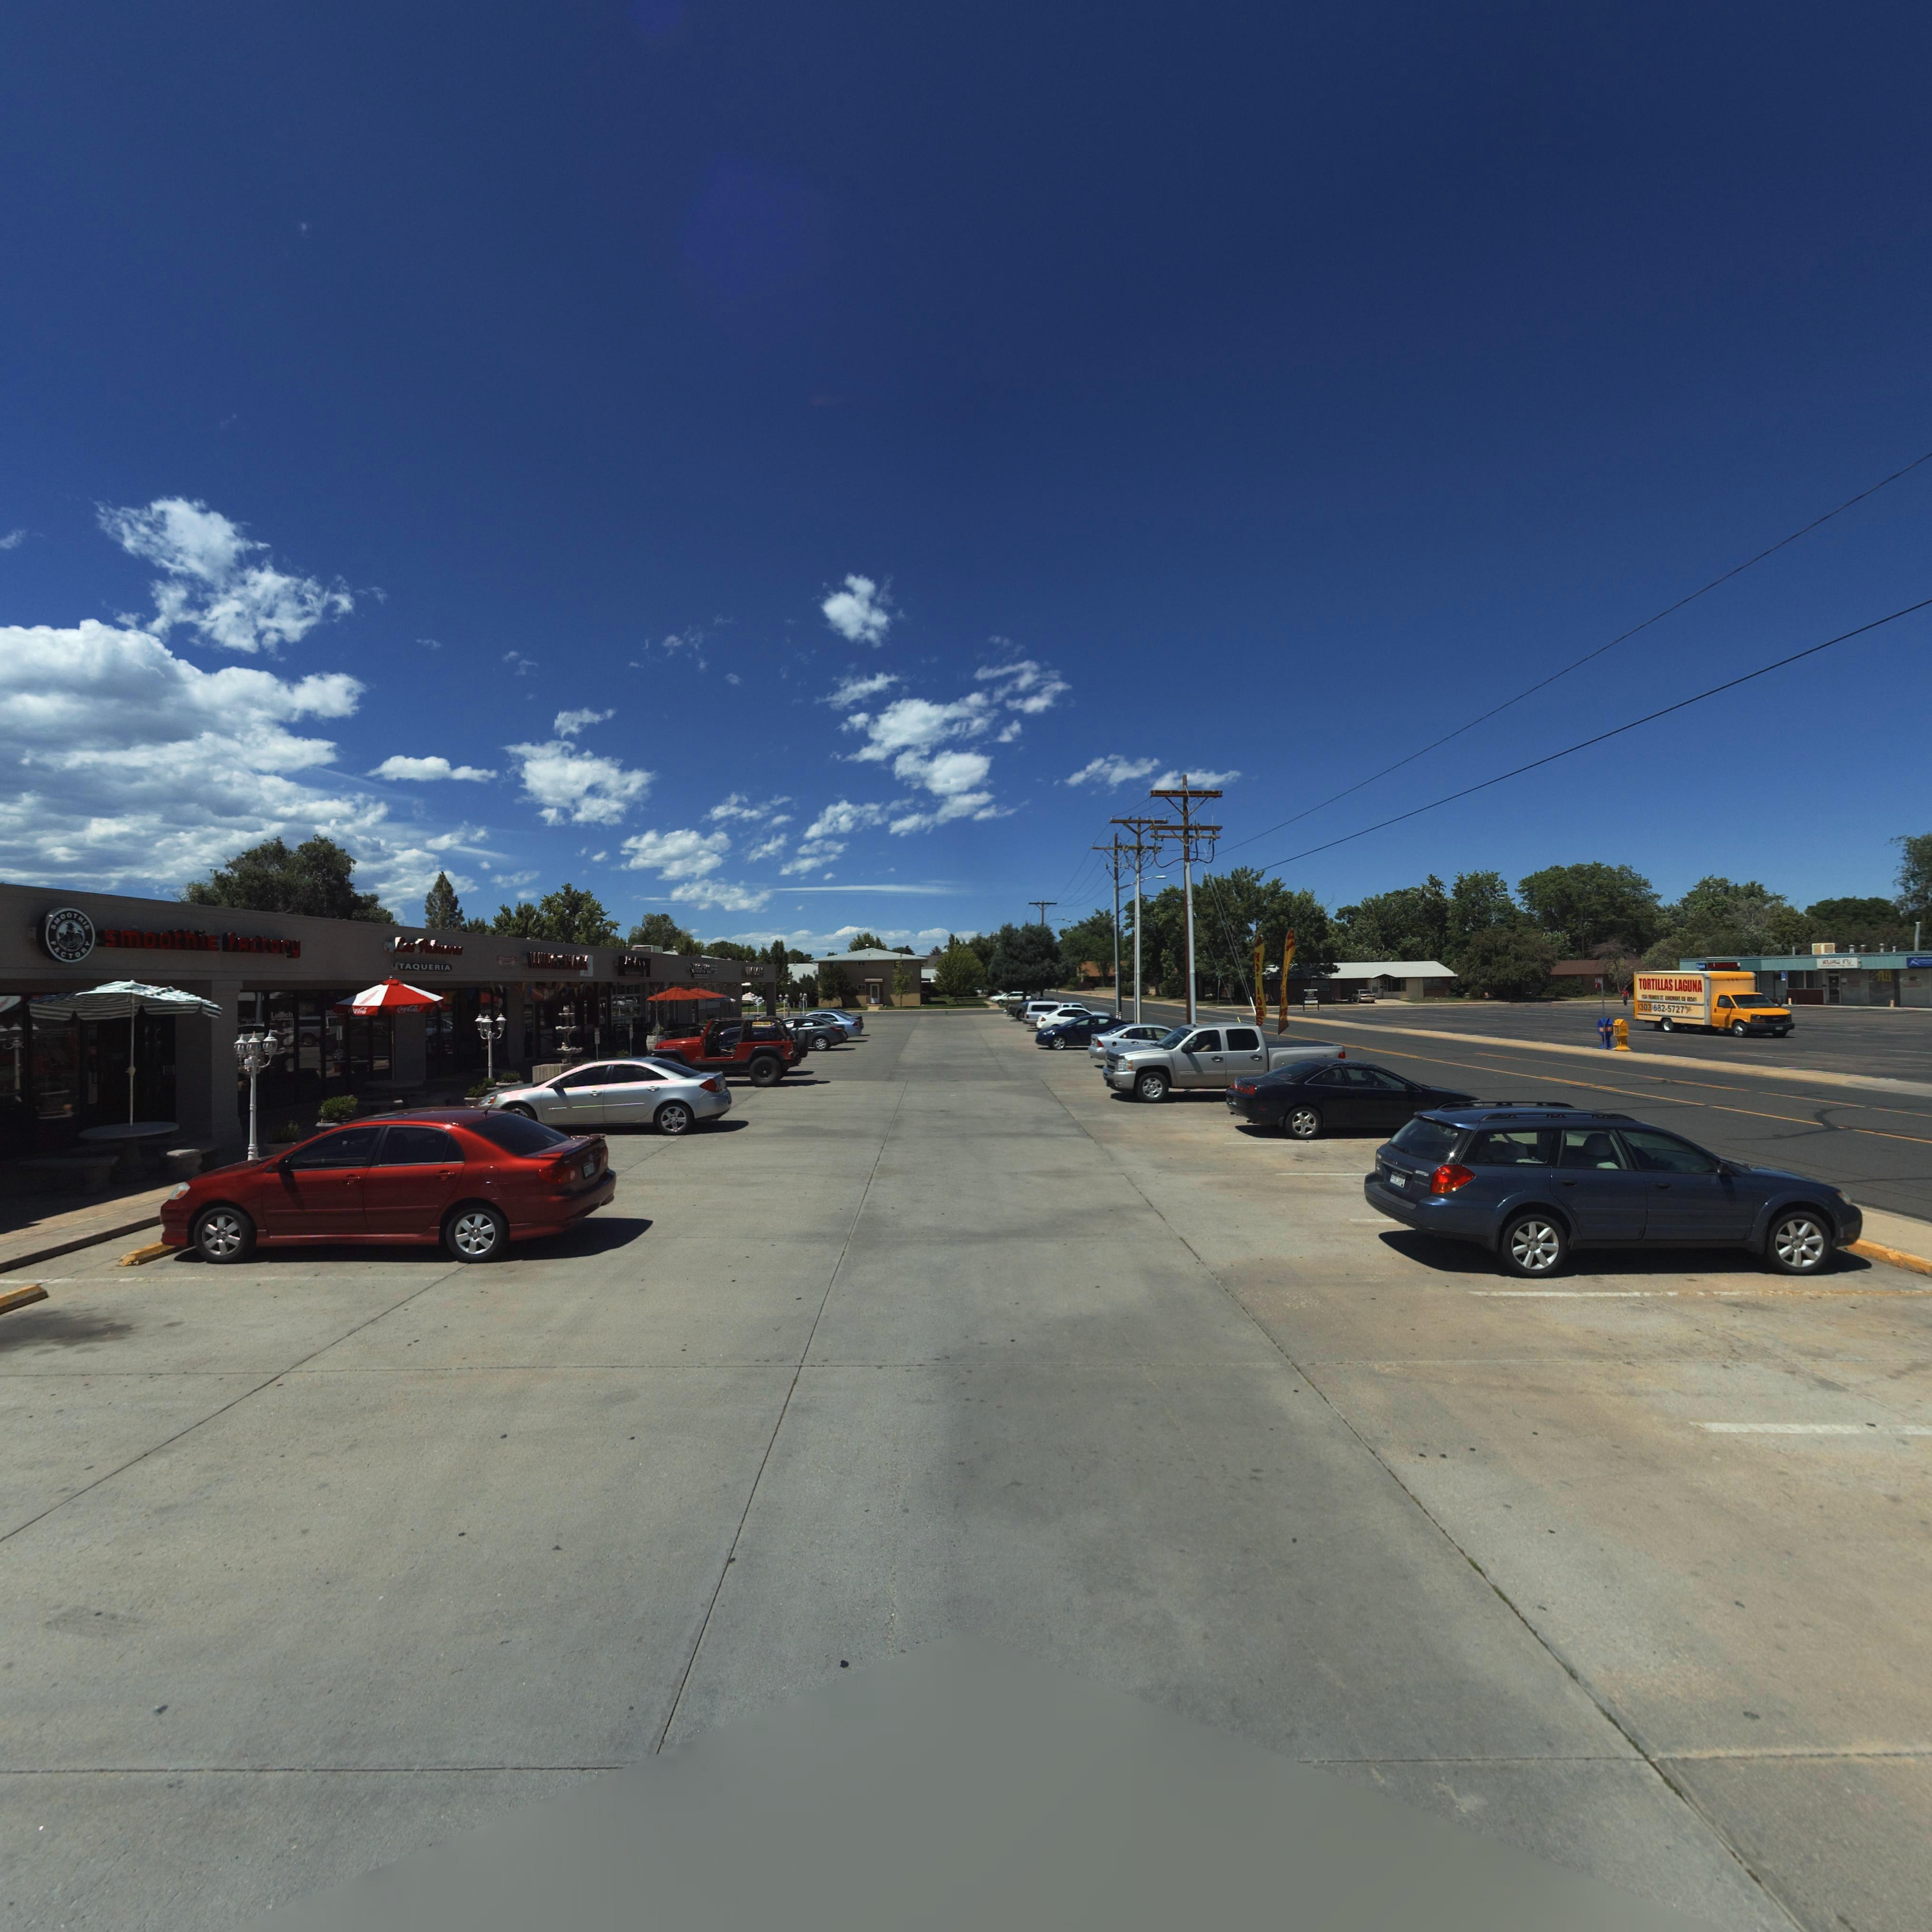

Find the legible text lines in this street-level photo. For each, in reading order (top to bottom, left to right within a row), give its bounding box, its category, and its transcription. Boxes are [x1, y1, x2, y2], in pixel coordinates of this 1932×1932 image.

[50, 912, 90, 931] BusinessName: SMOOTHIE
[50, 940, 90, 959] BusinessName: FACTORY
[104, 928, 301, 958] BusinessName: smoothiE FActory
[392, 936, 464, 956] BusinessName: Las P****ras
[530, 950, 588, 971] BusinessName: WING SHACK
[617, 954, 651, 978] BusinessName: R****I
[691, 962, 718, 974] BusinessName: *IGGI*S COF*EE
[1822, 958, 1852, 965] BusinessName: KUNG FU